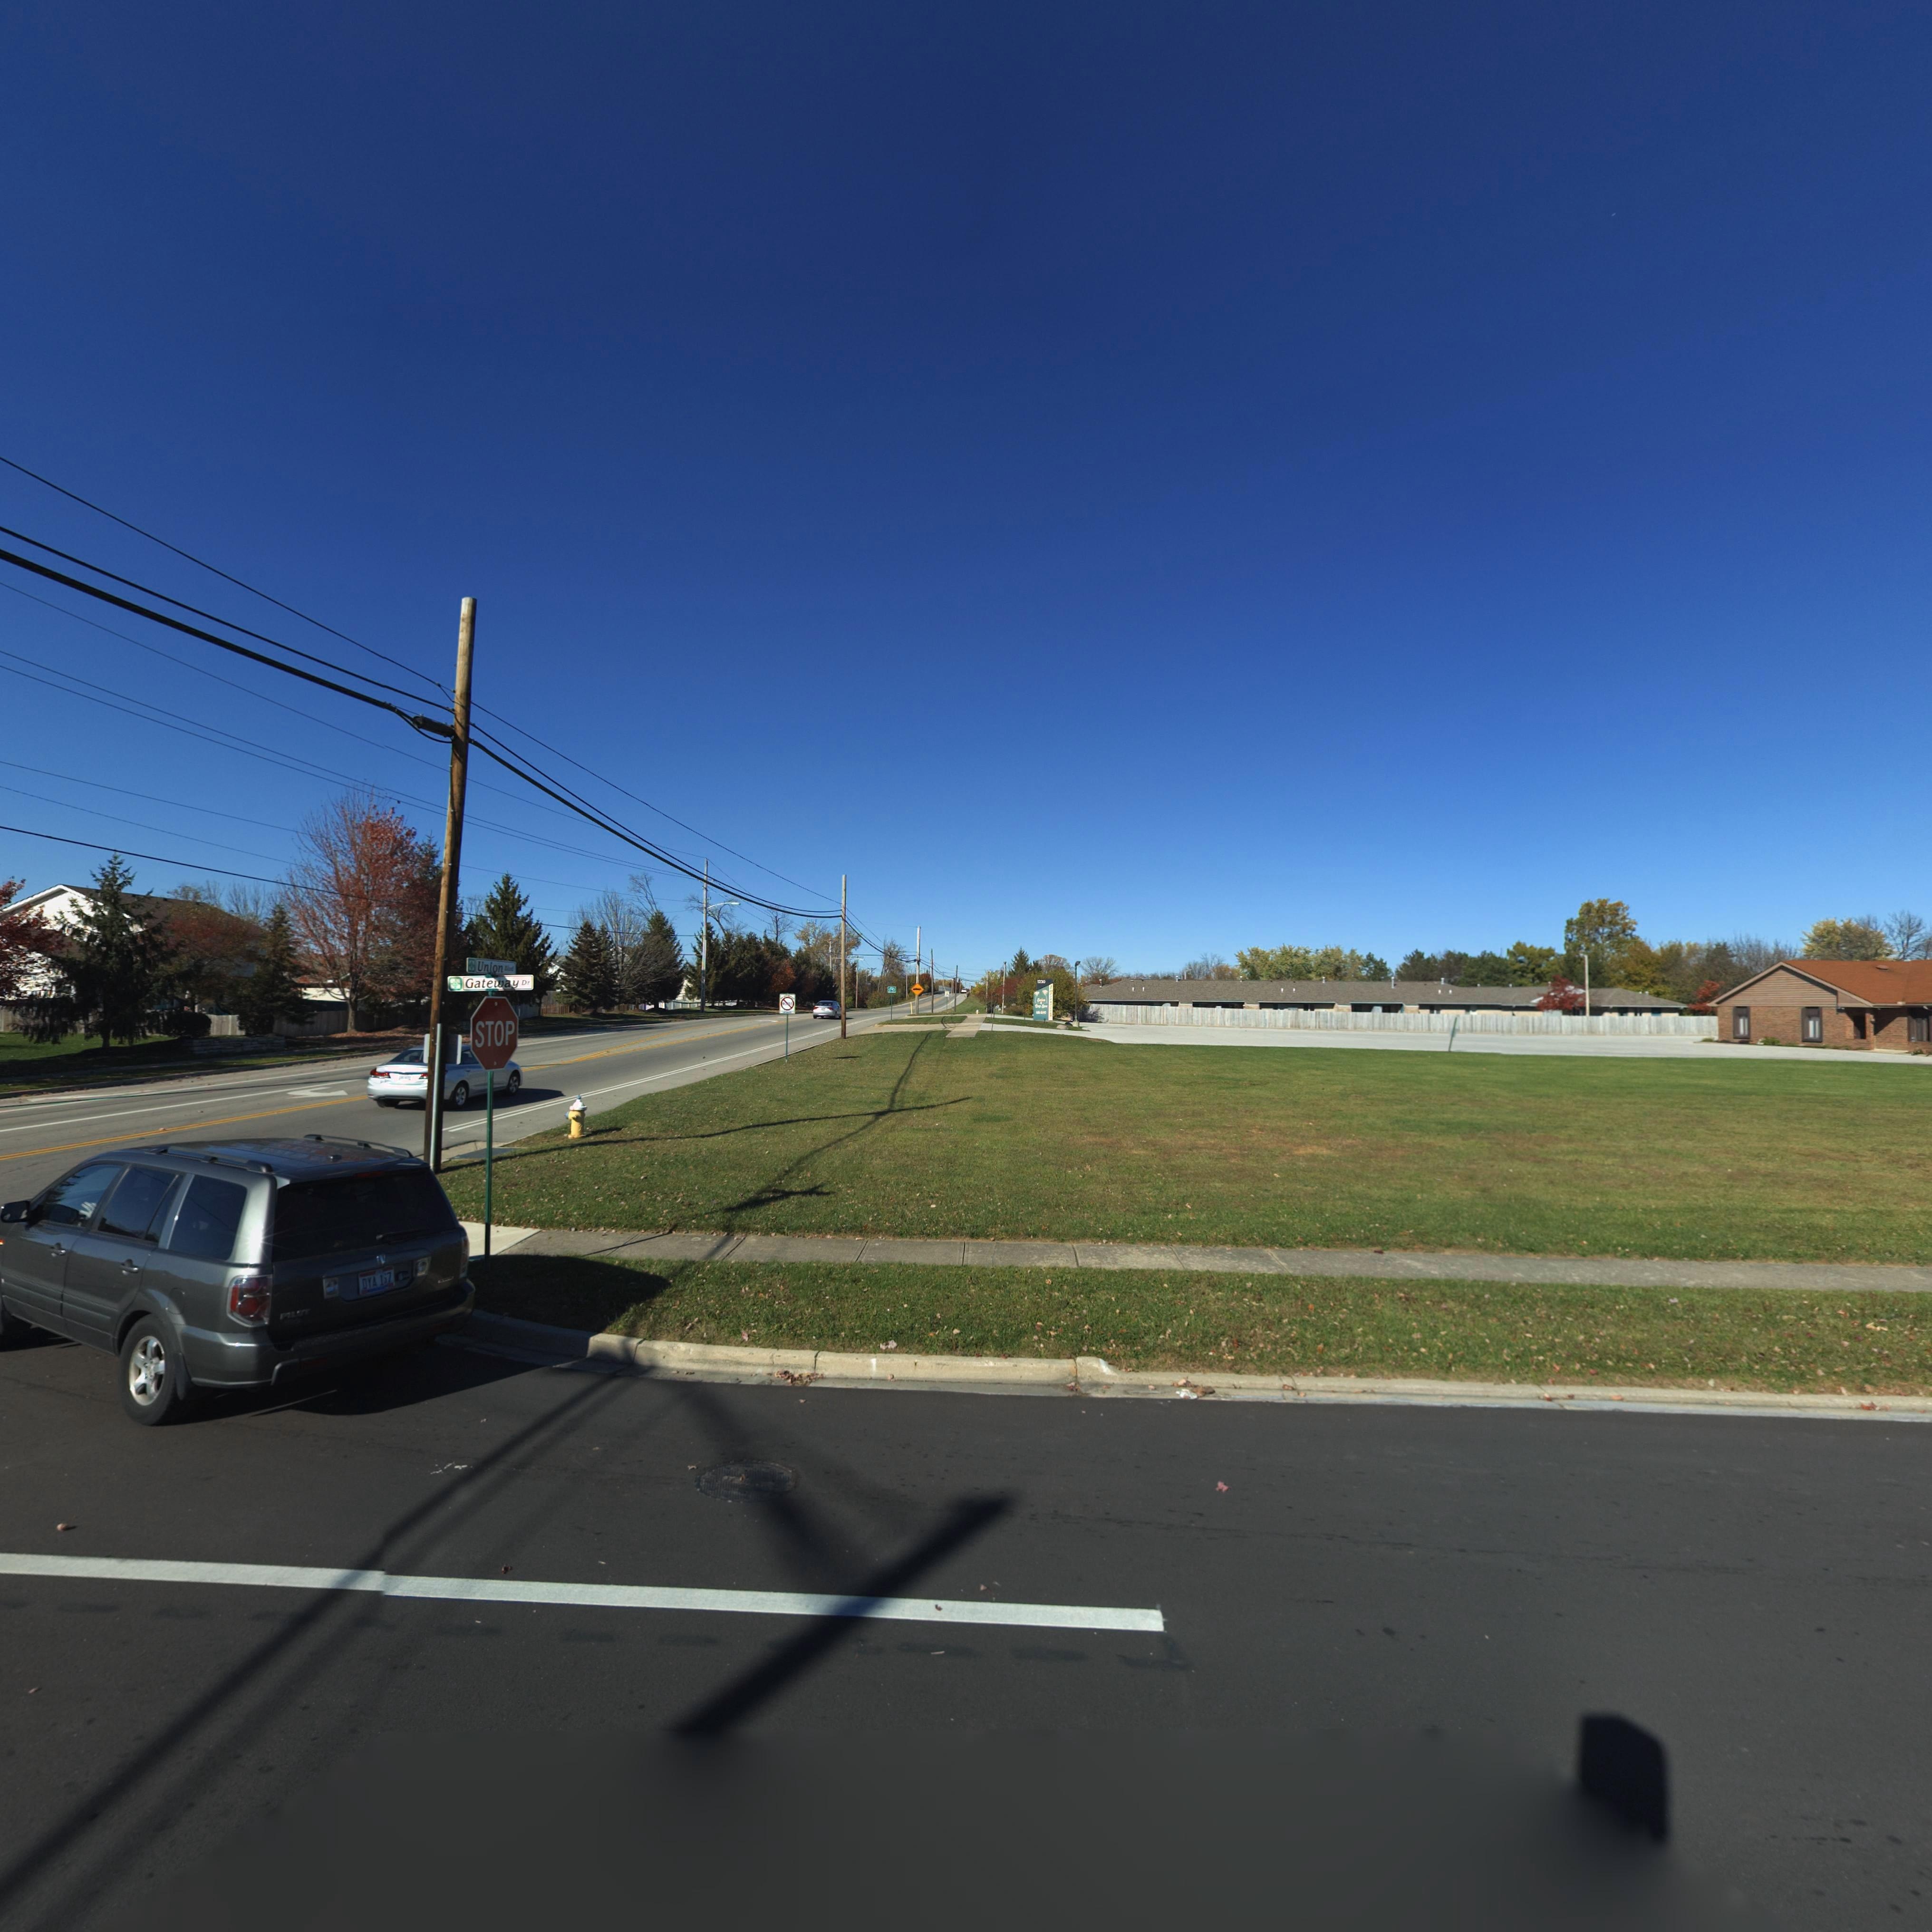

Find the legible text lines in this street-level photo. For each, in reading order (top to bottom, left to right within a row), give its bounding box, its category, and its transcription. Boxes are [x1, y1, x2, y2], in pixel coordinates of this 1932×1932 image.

[477, 959, 514, 974] StreetName: Union Blvd
[464, 977, 531, 990] StreetName: Gateway Dr
[1037, 979, 1046, 984] StreetNumber: 1230